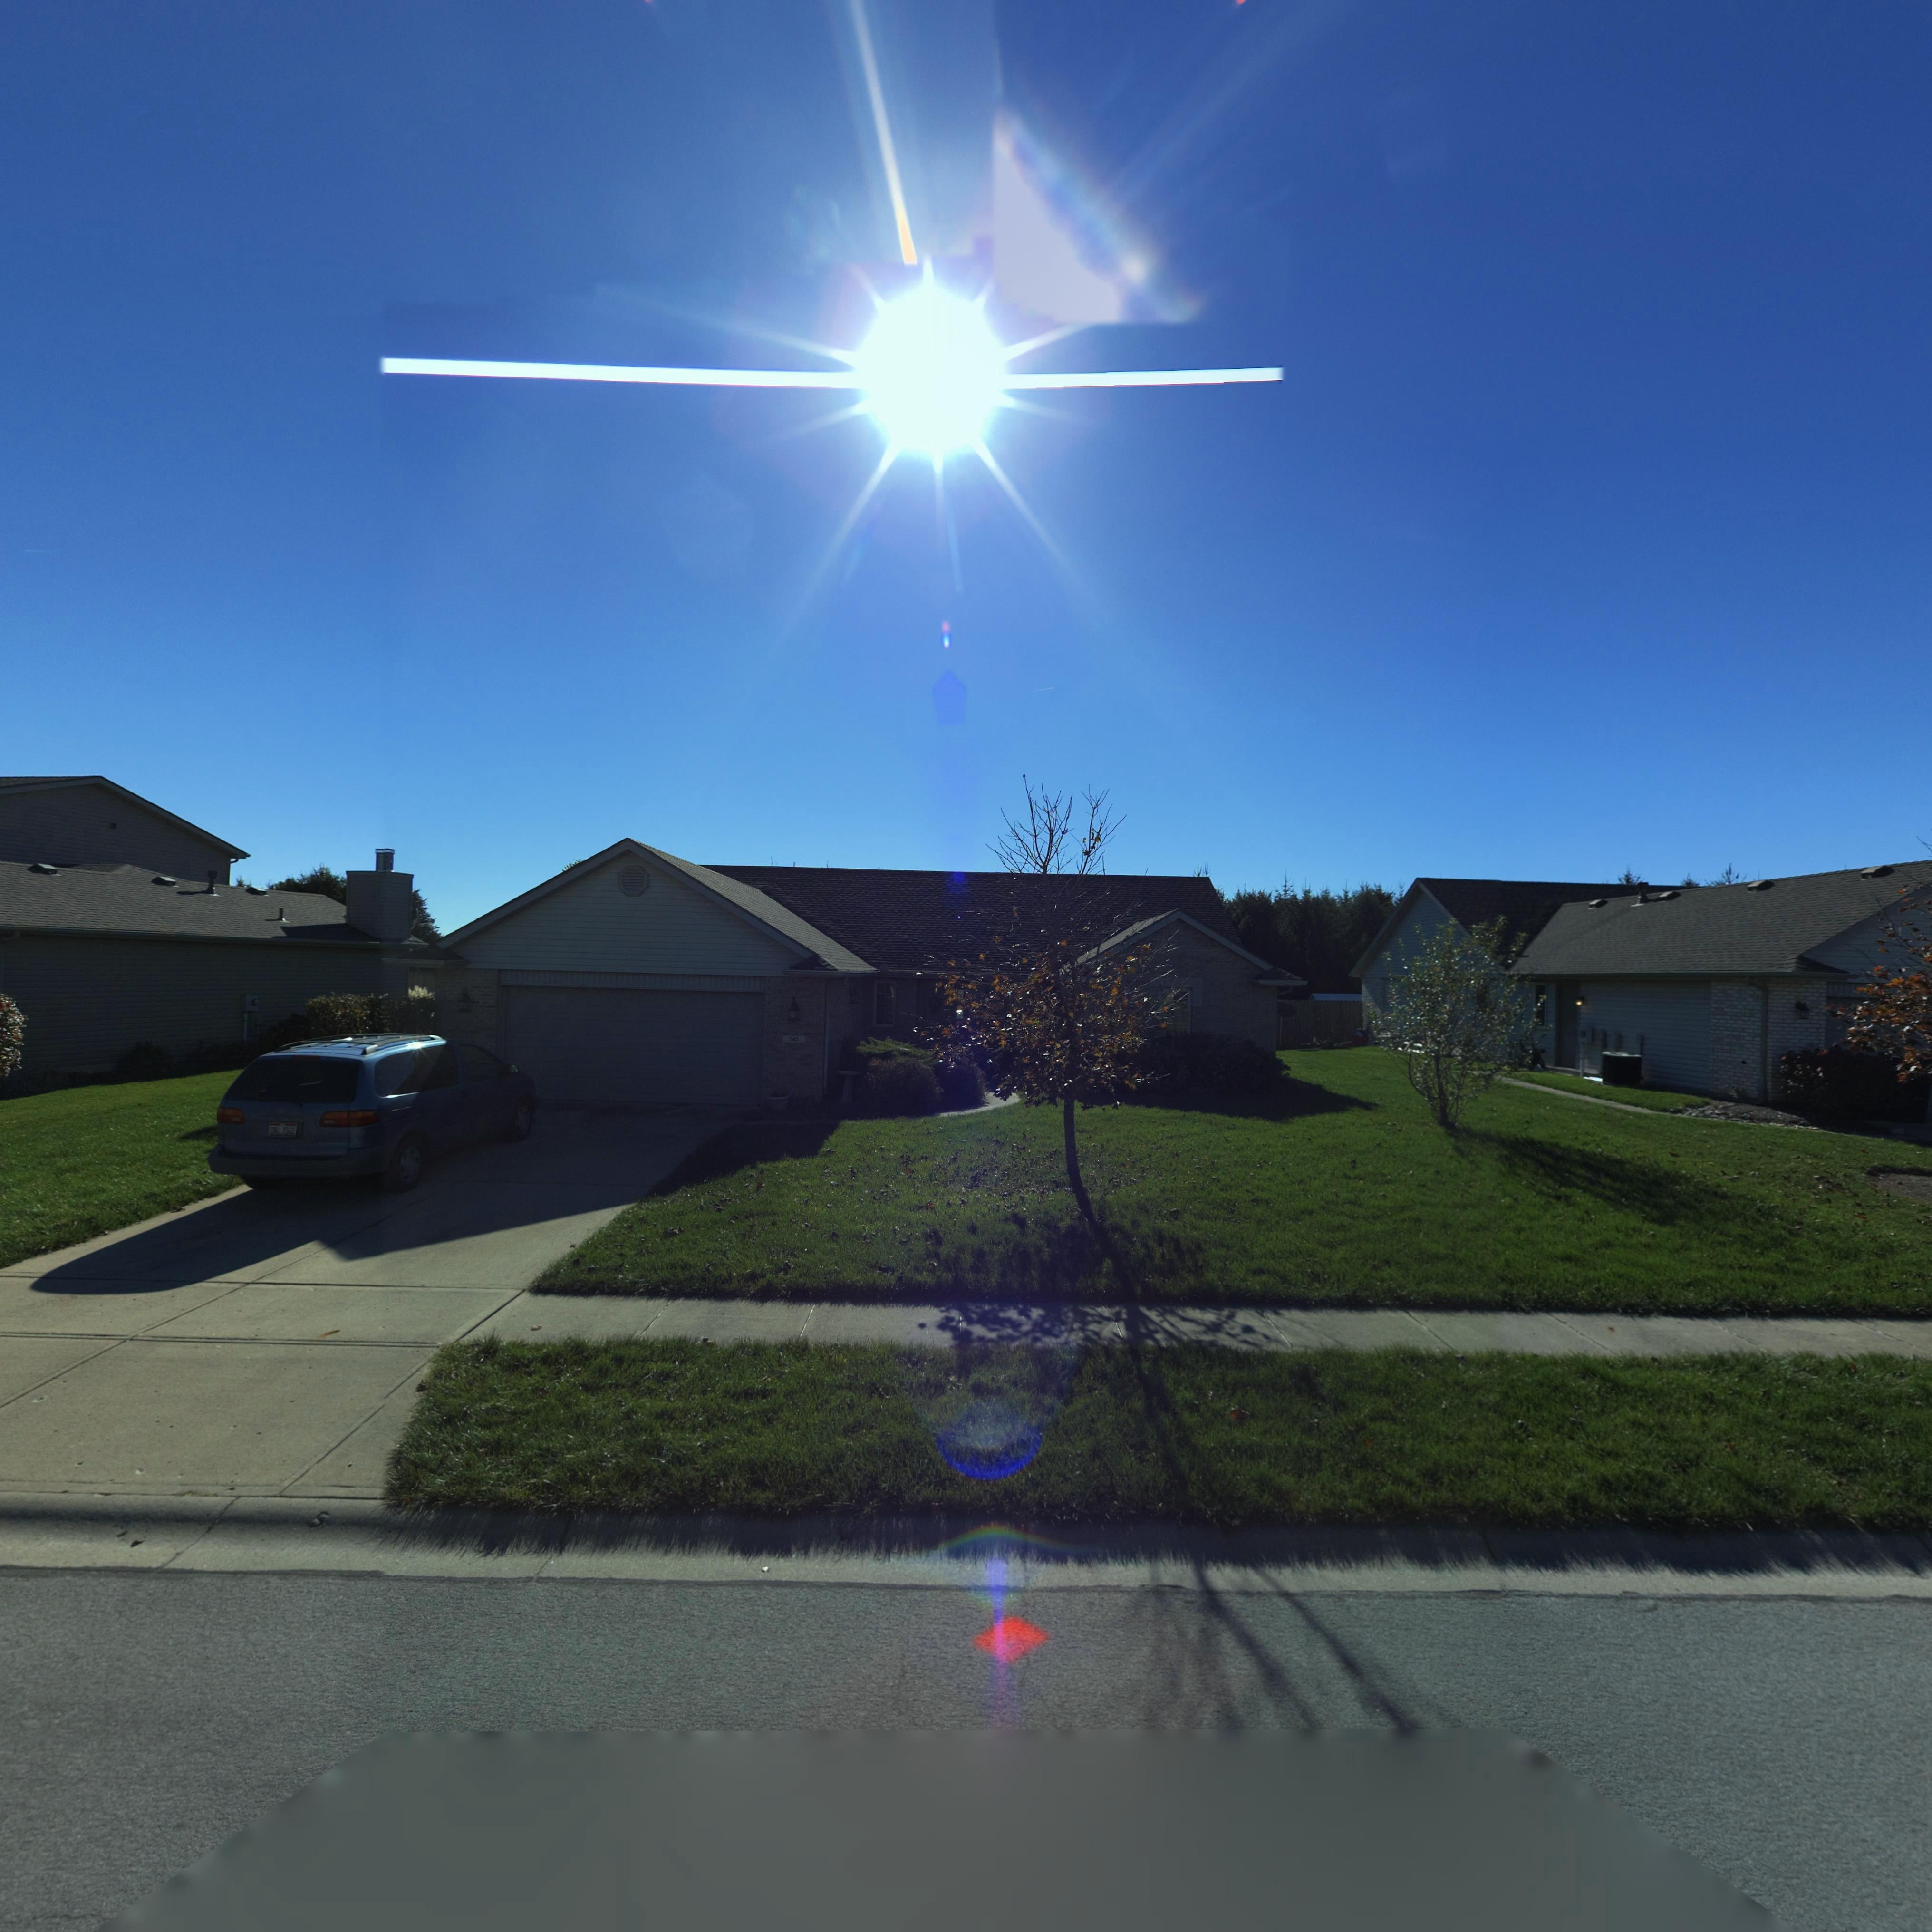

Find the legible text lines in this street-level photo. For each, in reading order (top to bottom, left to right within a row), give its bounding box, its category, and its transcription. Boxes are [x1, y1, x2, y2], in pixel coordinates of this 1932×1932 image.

[789, 1036, 799, 1042] StreetNumber: 145